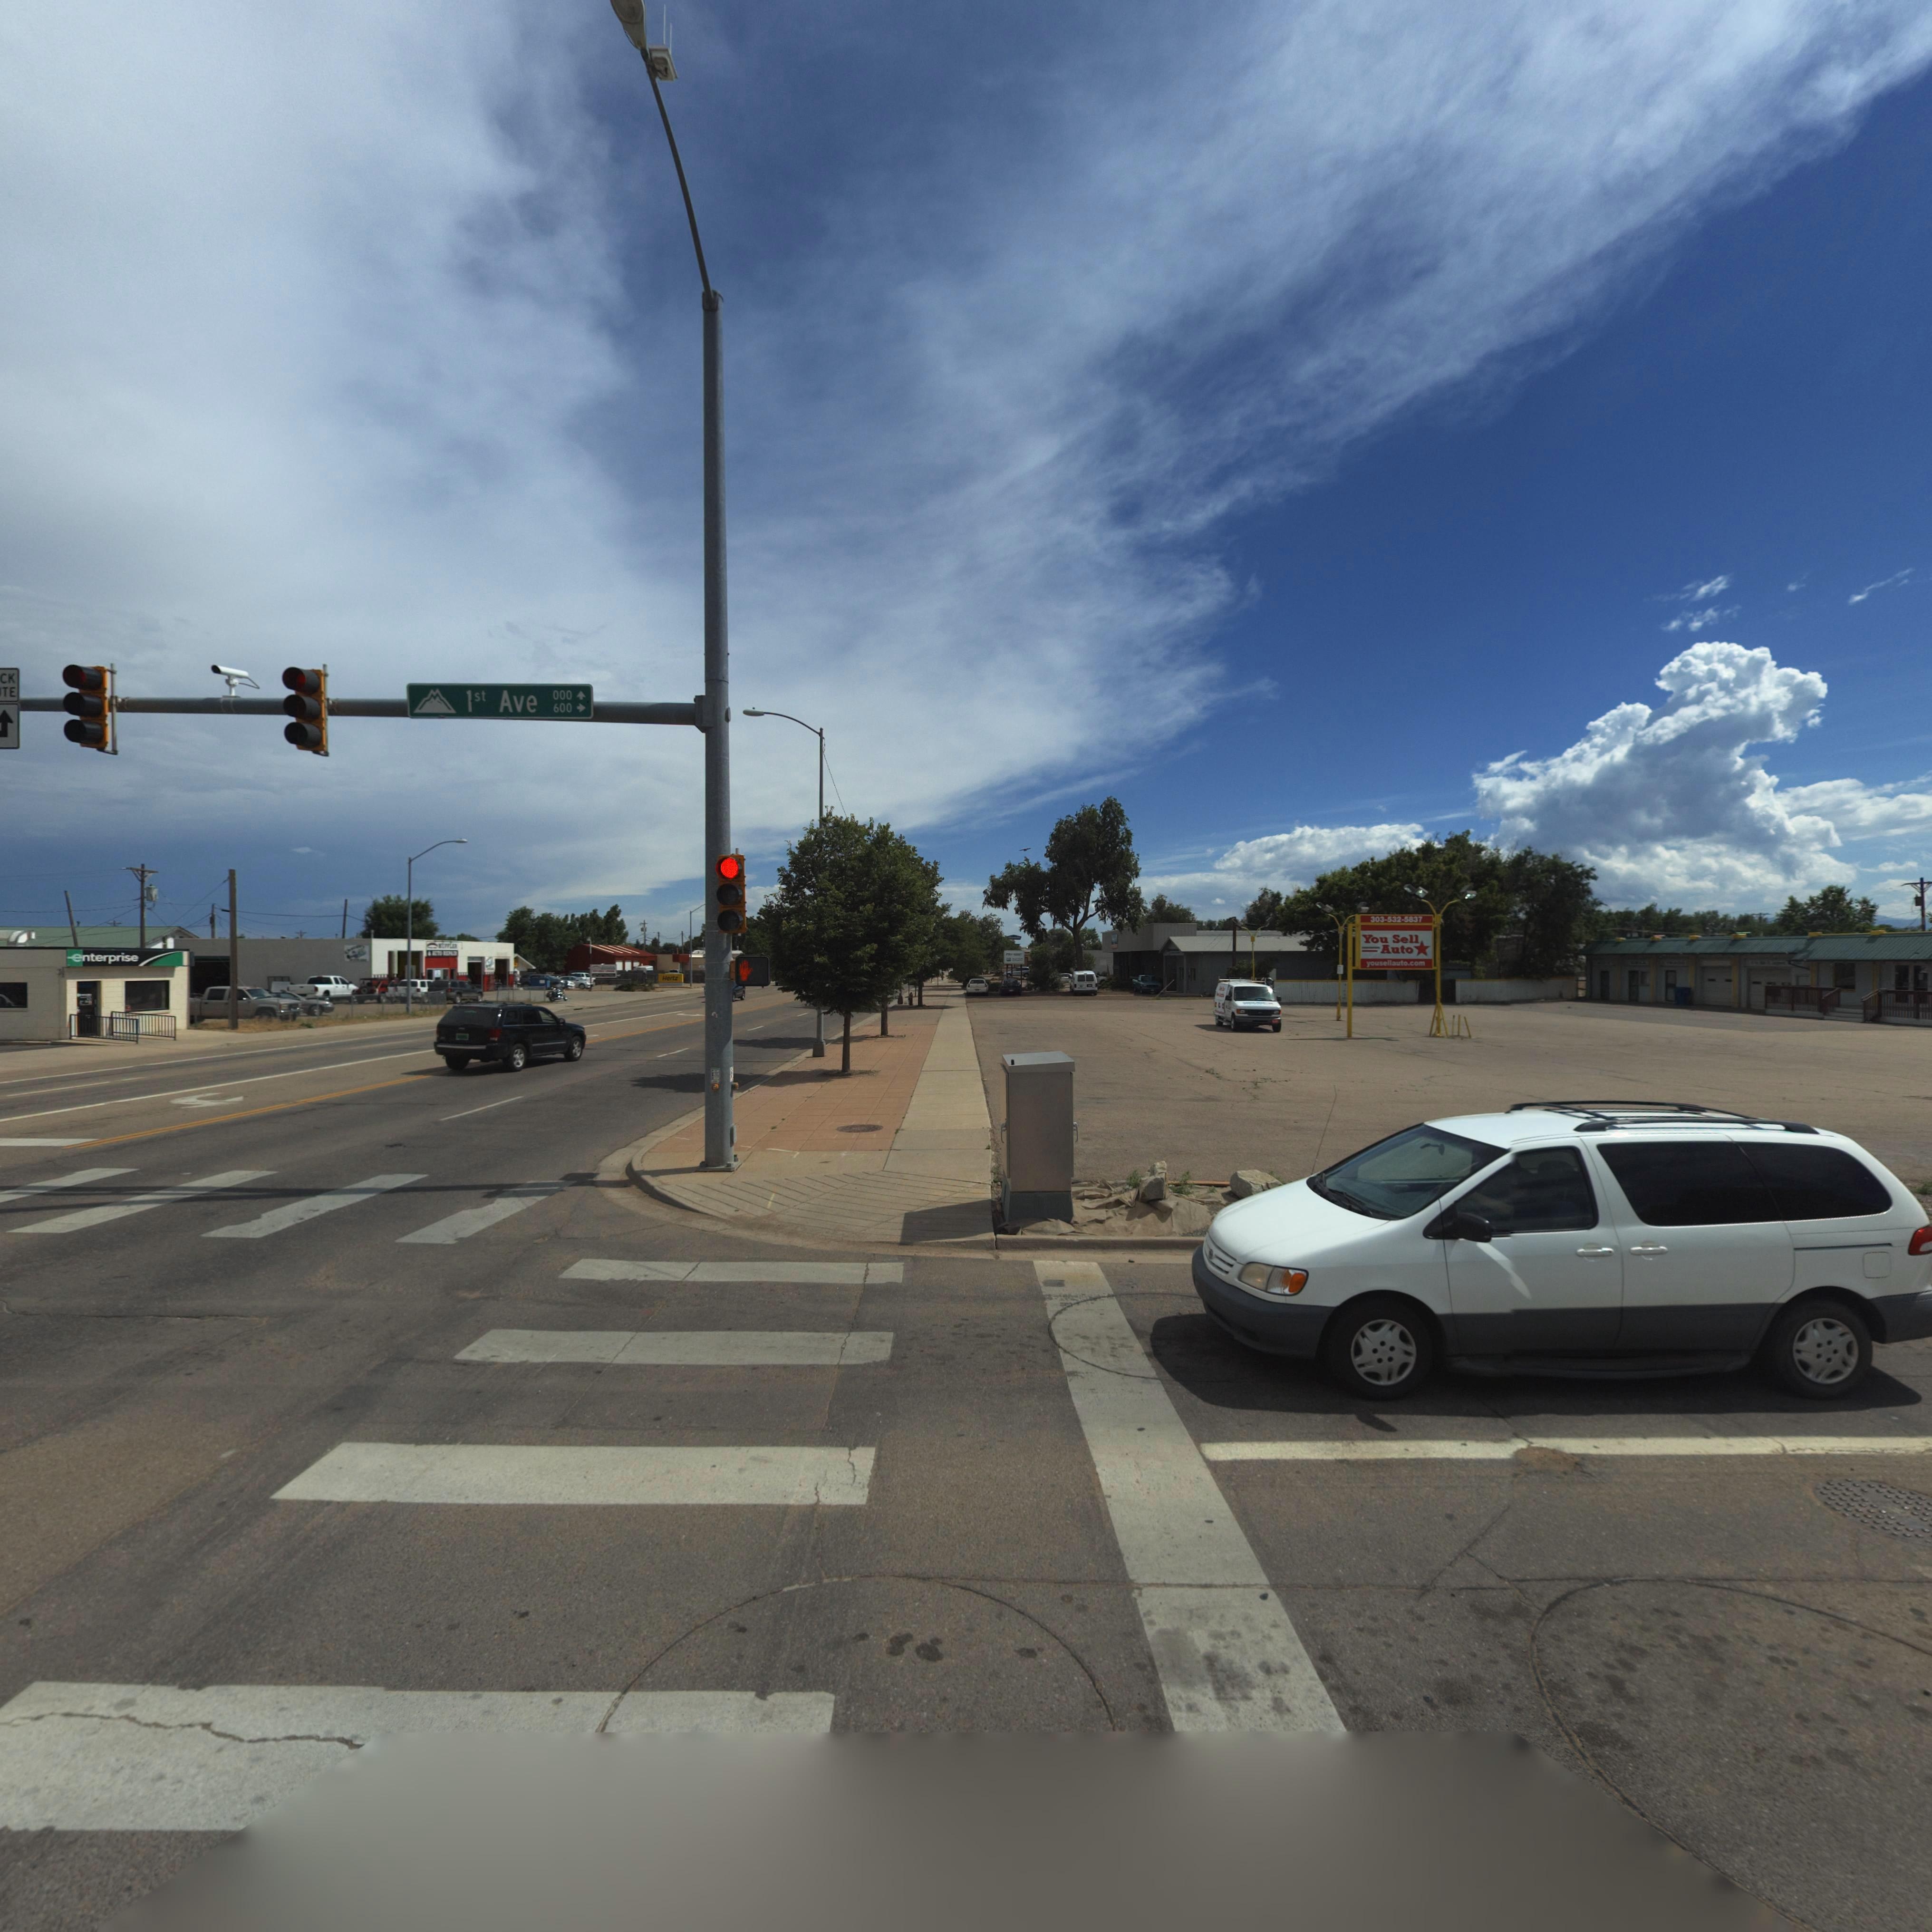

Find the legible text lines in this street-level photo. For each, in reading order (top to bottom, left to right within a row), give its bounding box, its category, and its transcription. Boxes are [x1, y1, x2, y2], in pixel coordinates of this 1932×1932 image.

[552, 690, 572, 700] StreetNumberRange: 000
[465, 689, 538, 713] StreetName: 1st Ave
[552, 703, 586, 713] StreetNumberRange: 600 ->
[438, 943, 457, 948] BusinessName: **FFL**
[66, 952, 139, 964] BusinessName: ENTERPRISE
[427, 950, 457, 956] BusinessName: * ***O ******
[662, 975, 678, 980] BusinessName: Hertz